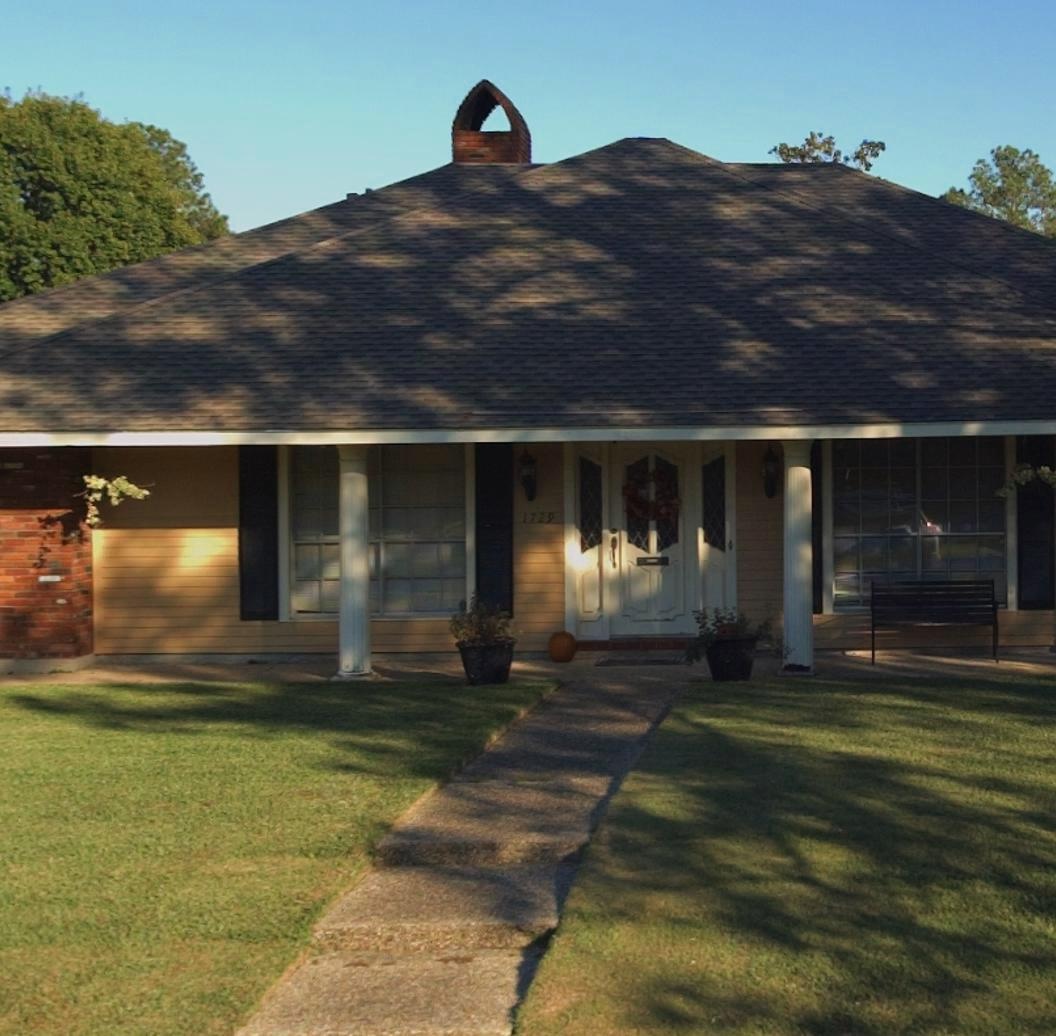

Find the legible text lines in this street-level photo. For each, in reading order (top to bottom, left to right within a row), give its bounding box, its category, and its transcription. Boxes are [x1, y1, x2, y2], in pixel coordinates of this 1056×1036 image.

[521, 511, 556, 524] StreetNumber: 1729